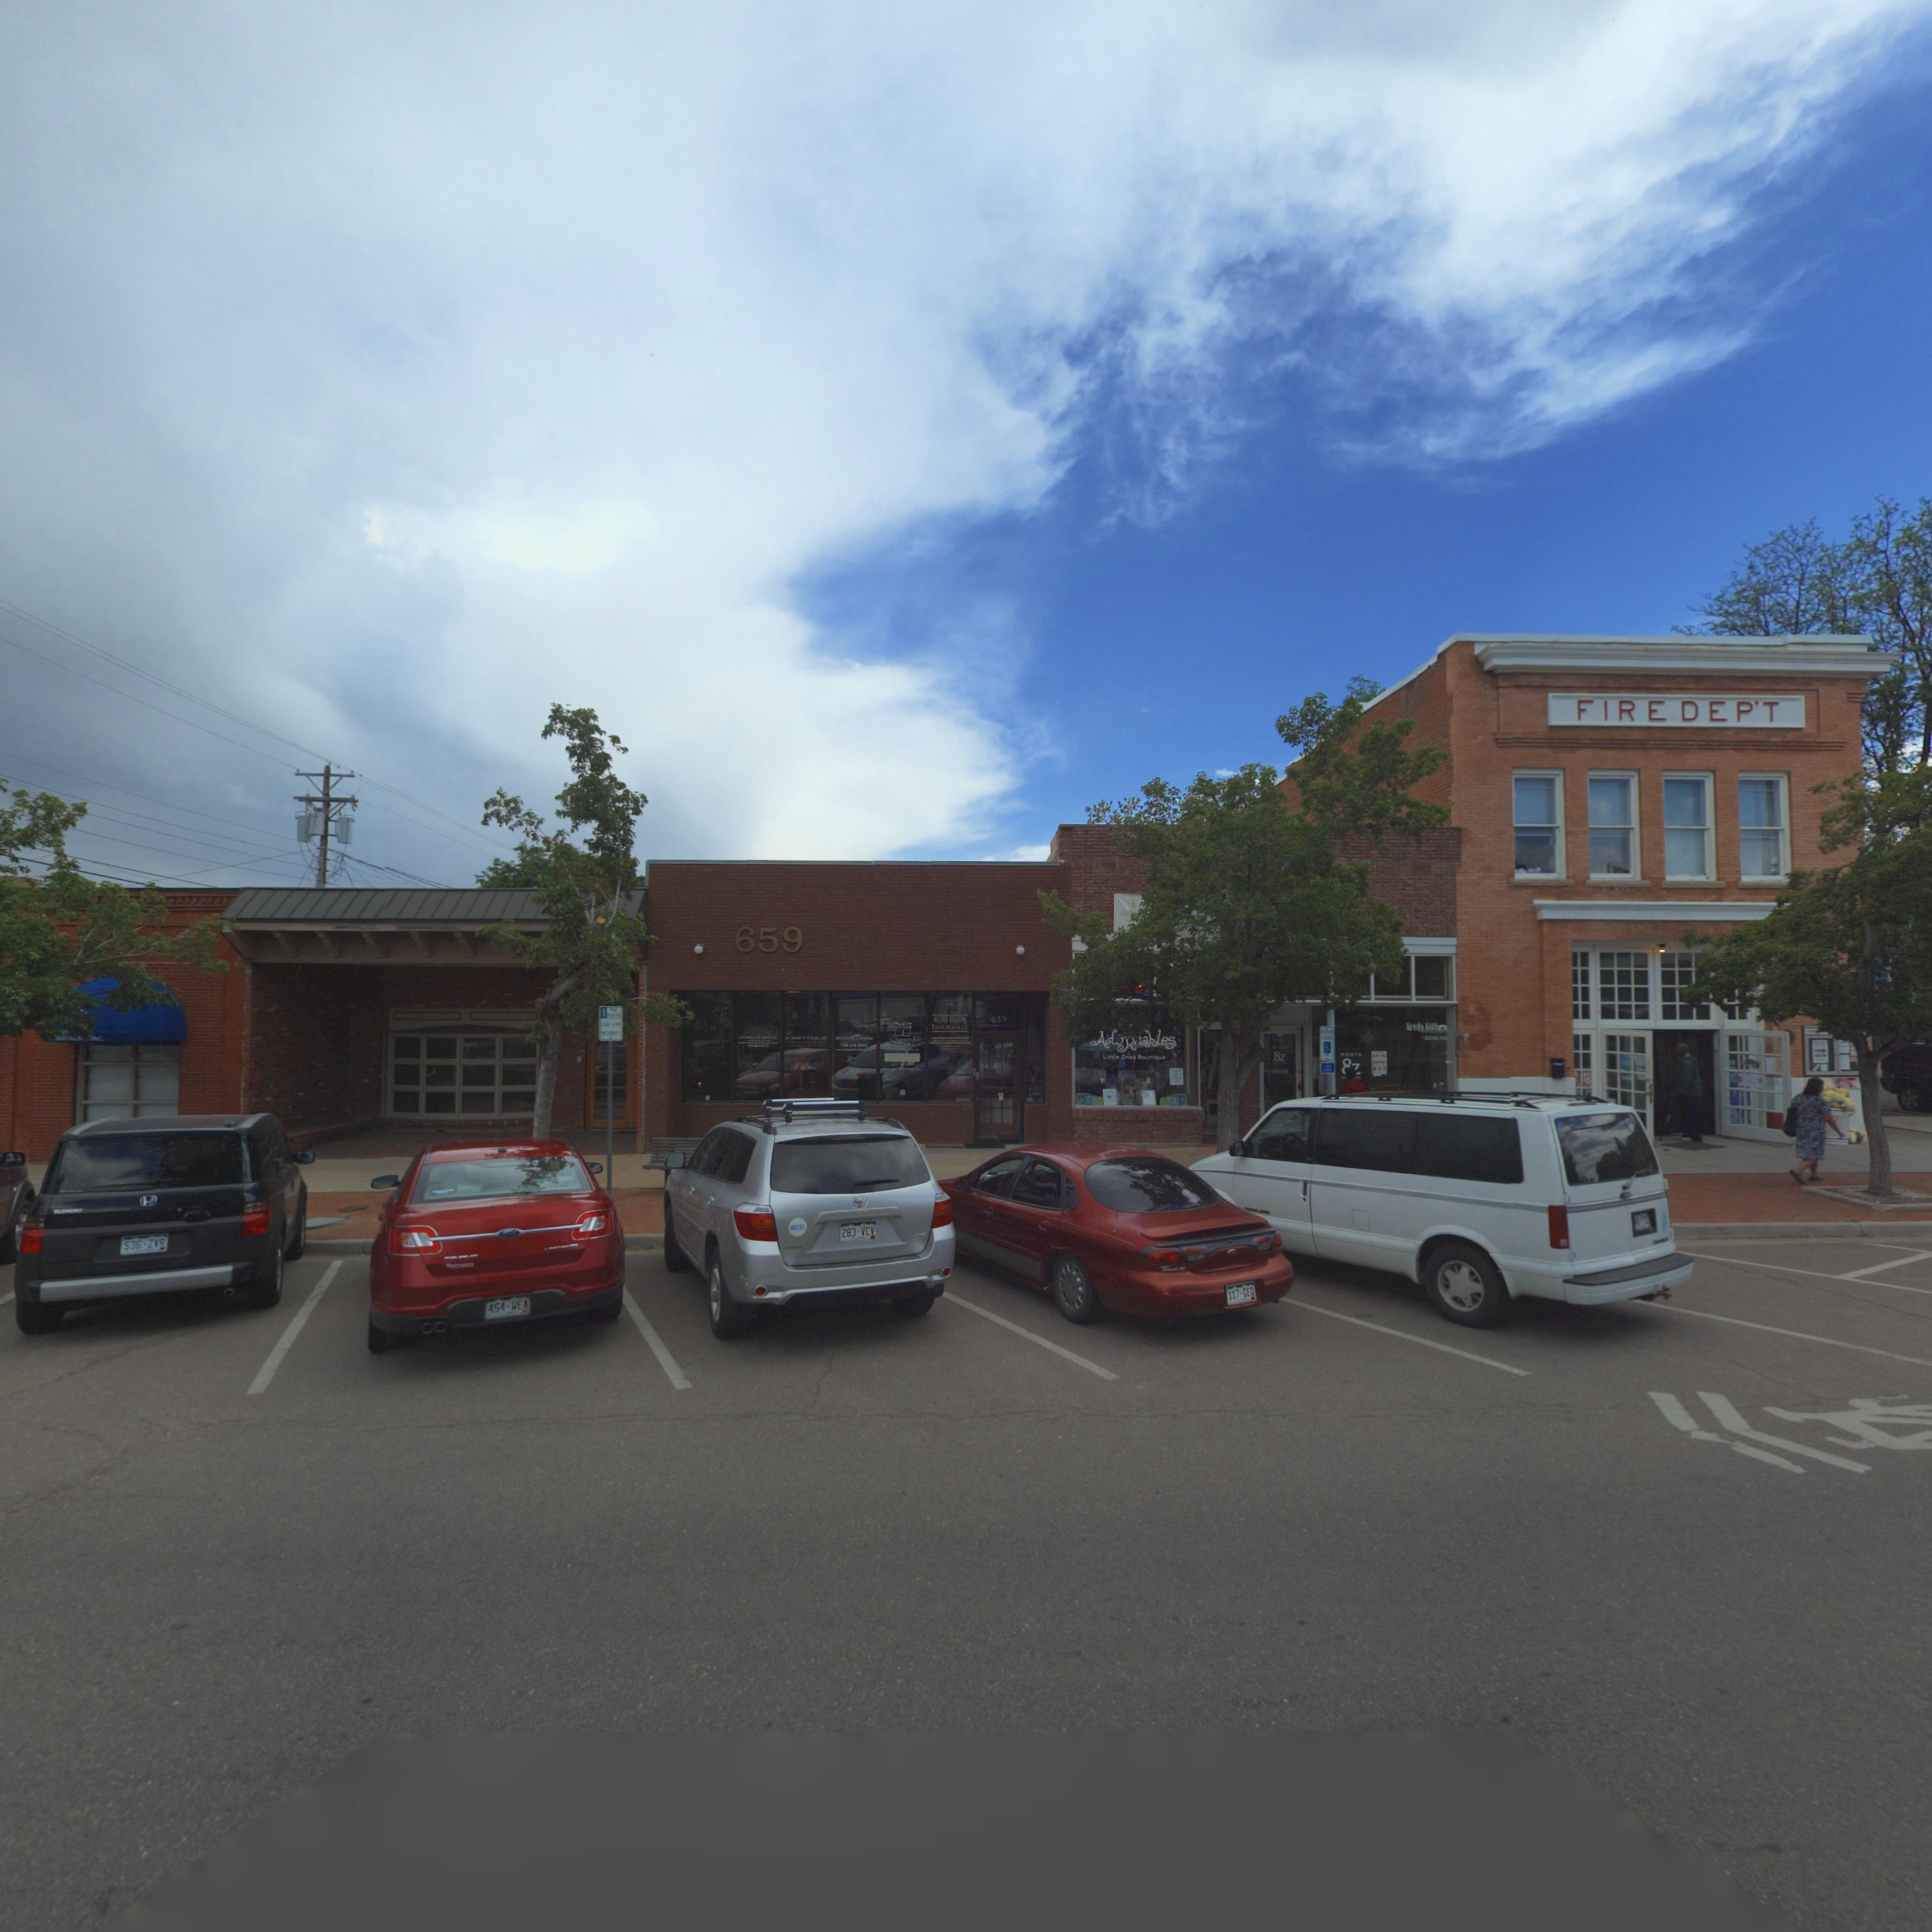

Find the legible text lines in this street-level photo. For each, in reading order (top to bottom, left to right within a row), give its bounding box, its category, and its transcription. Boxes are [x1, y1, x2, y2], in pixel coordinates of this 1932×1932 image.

[735, 927, 803, 953] StreetNumber: 659
[934, 1016, 966, 1022] BusinessName: RISK PLAN
[991, 1015, 1007, 1023] StreetNumber: 659
[931, 1024, 968, 1029] BusinessName: INSURANCE
[1090, 1029, 1177, 1053] BusinessName: Ad*R*ables
[1103, 1054, 1166, 1060] BusinessName: Little Ones Boutique